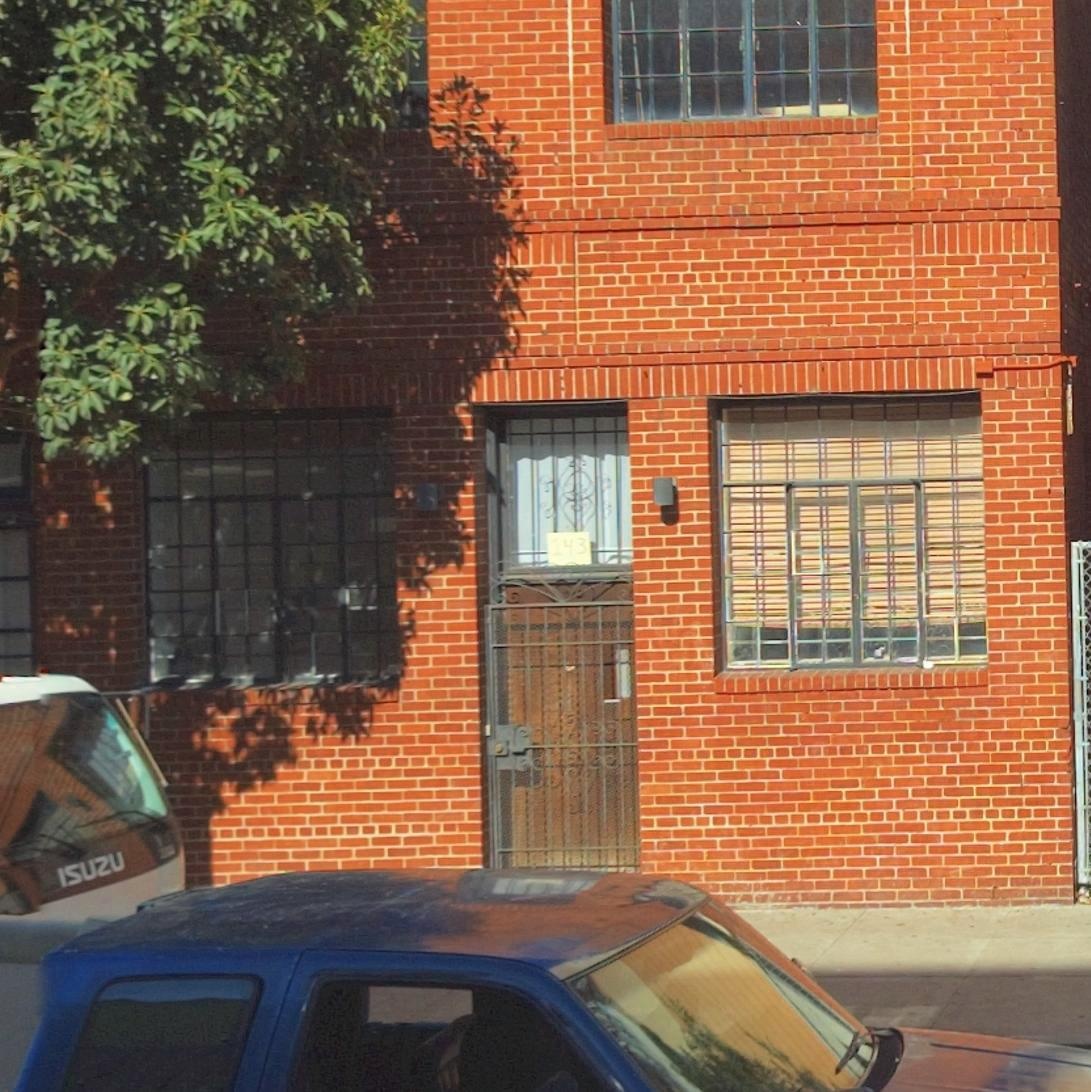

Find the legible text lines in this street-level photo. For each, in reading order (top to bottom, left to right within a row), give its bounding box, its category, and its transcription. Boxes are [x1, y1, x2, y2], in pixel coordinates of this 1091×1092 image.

[550, 536, 588, 558] StreetNumber: 143
[53, 847, 130, 893] None: ISUZU